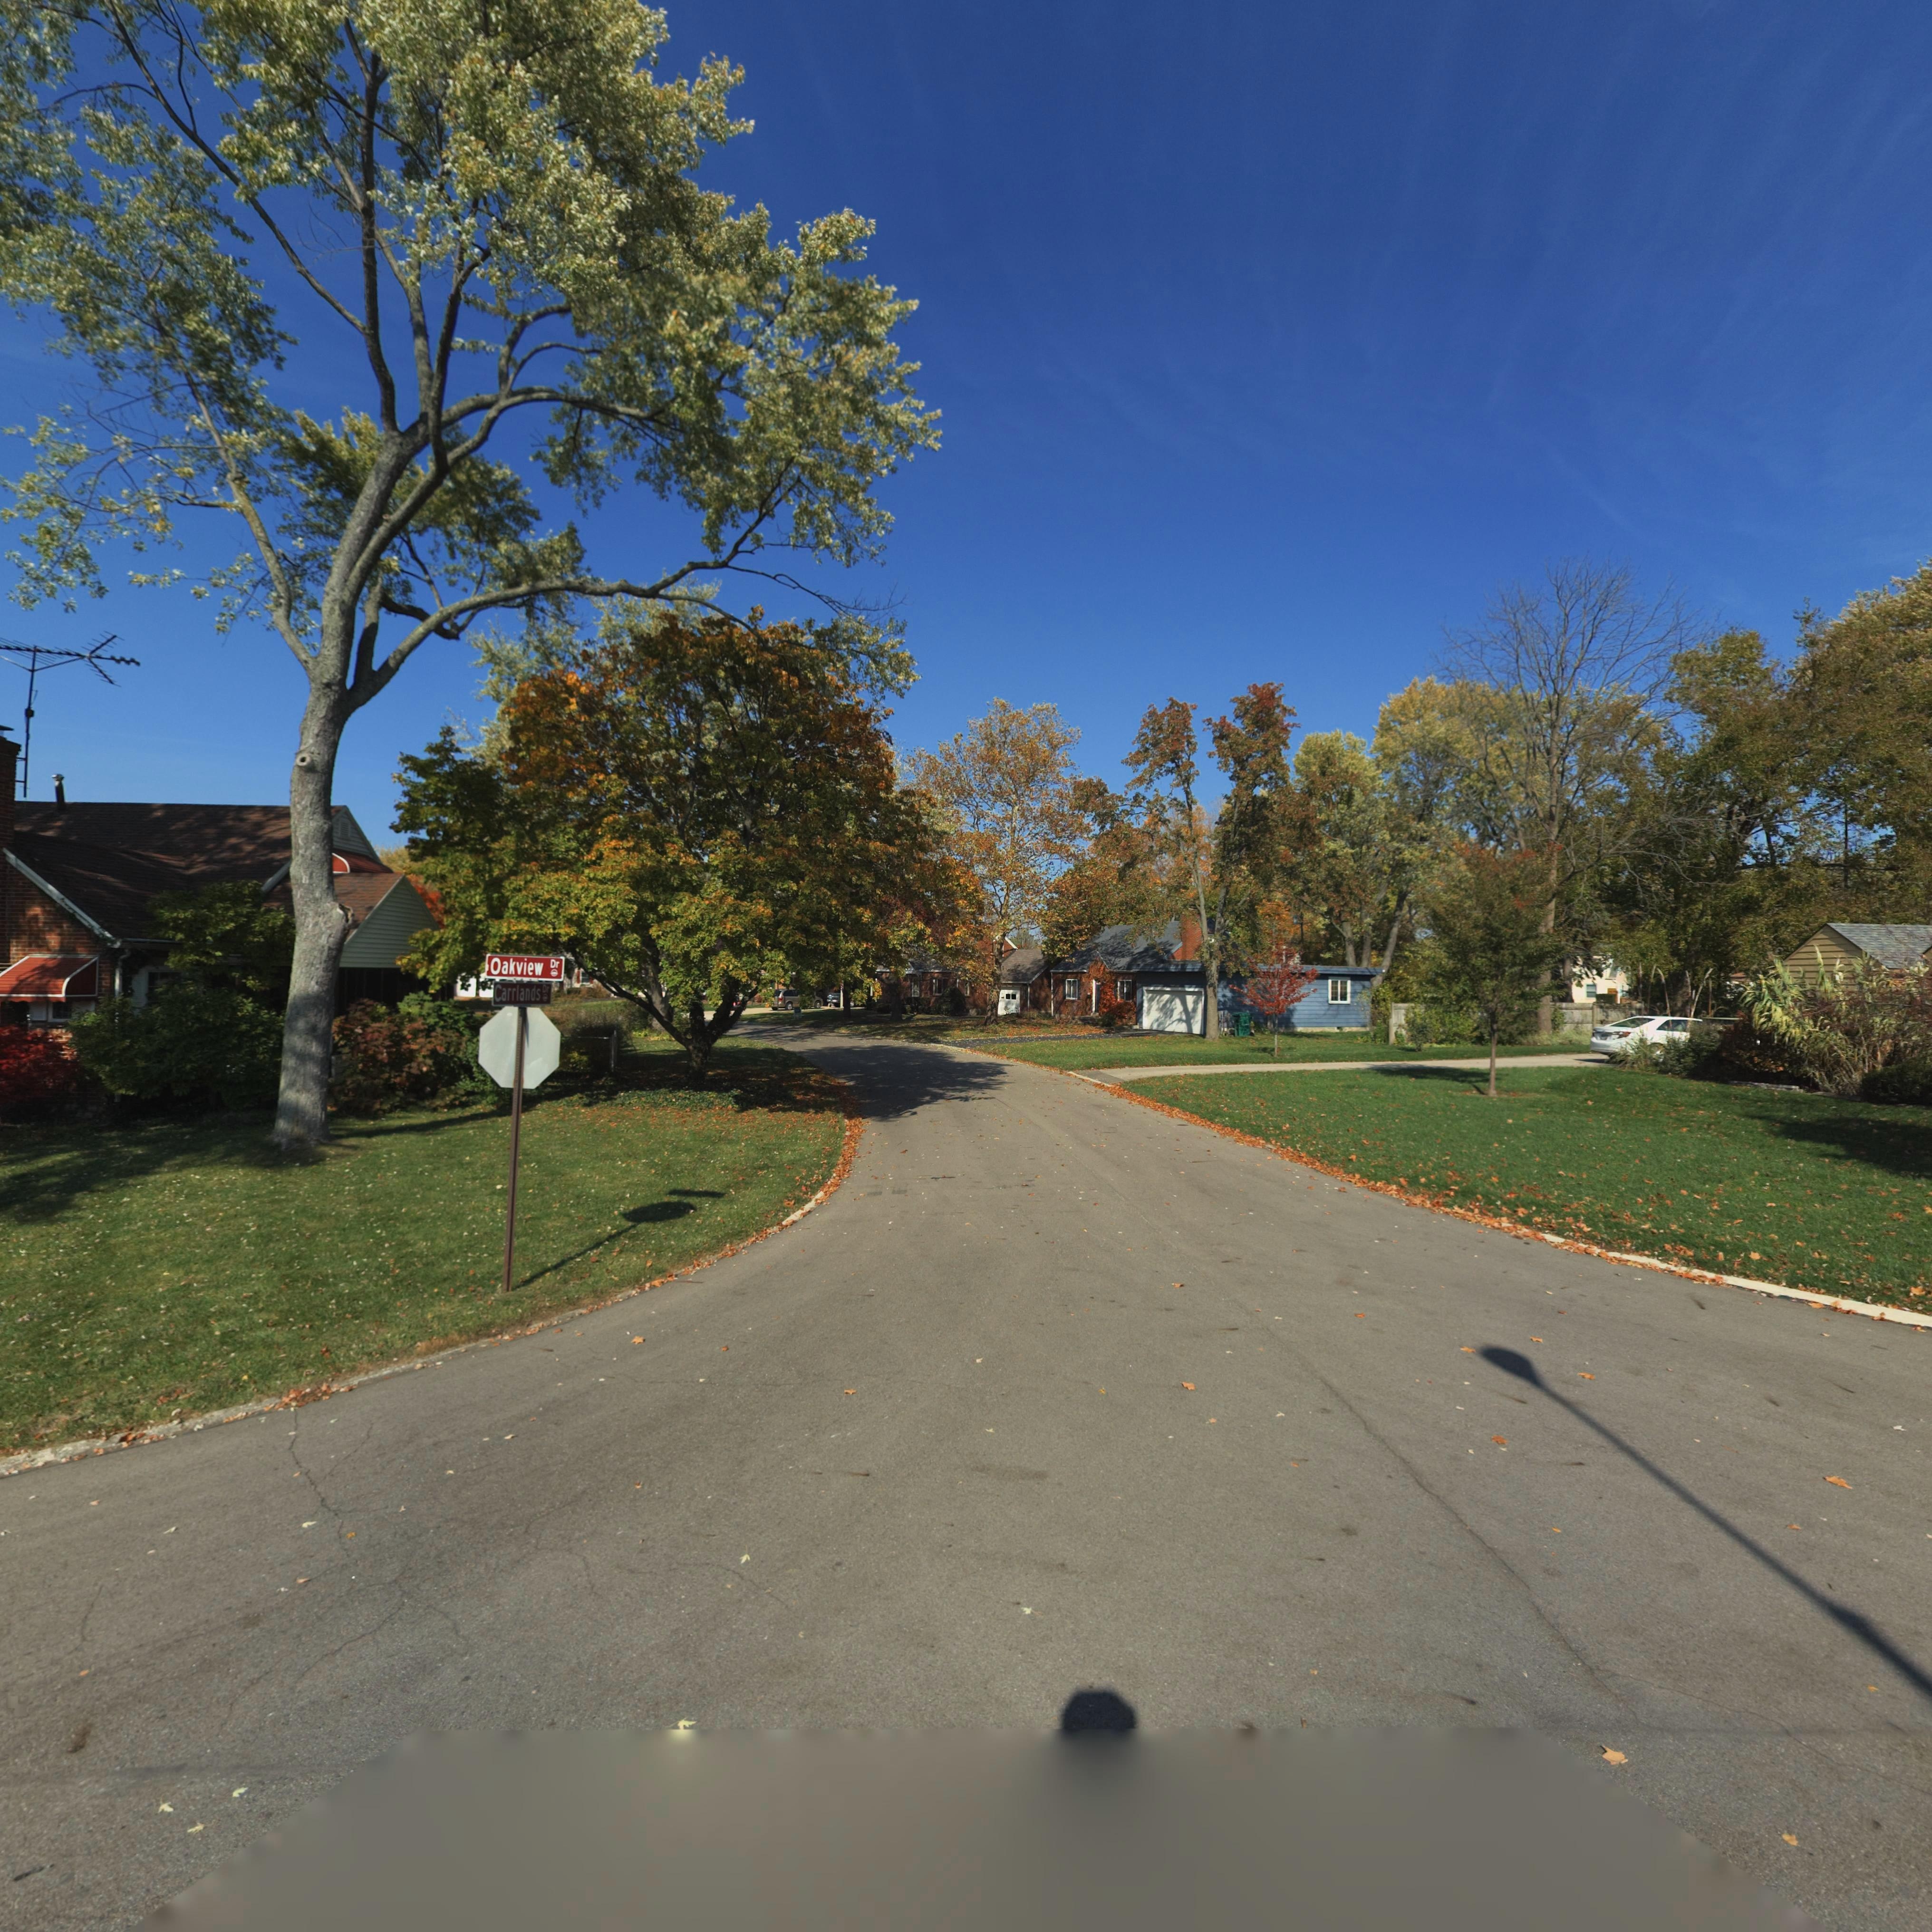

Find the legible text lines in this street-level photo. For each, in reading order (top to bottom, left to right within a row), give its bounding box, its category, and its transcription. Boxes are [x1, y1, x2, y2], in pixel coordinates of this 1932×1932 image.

[490, 957, 560, 976] StreetName: Oakview Dr
[494, 984, 550, 1003] StreetName: Carrlands Dr